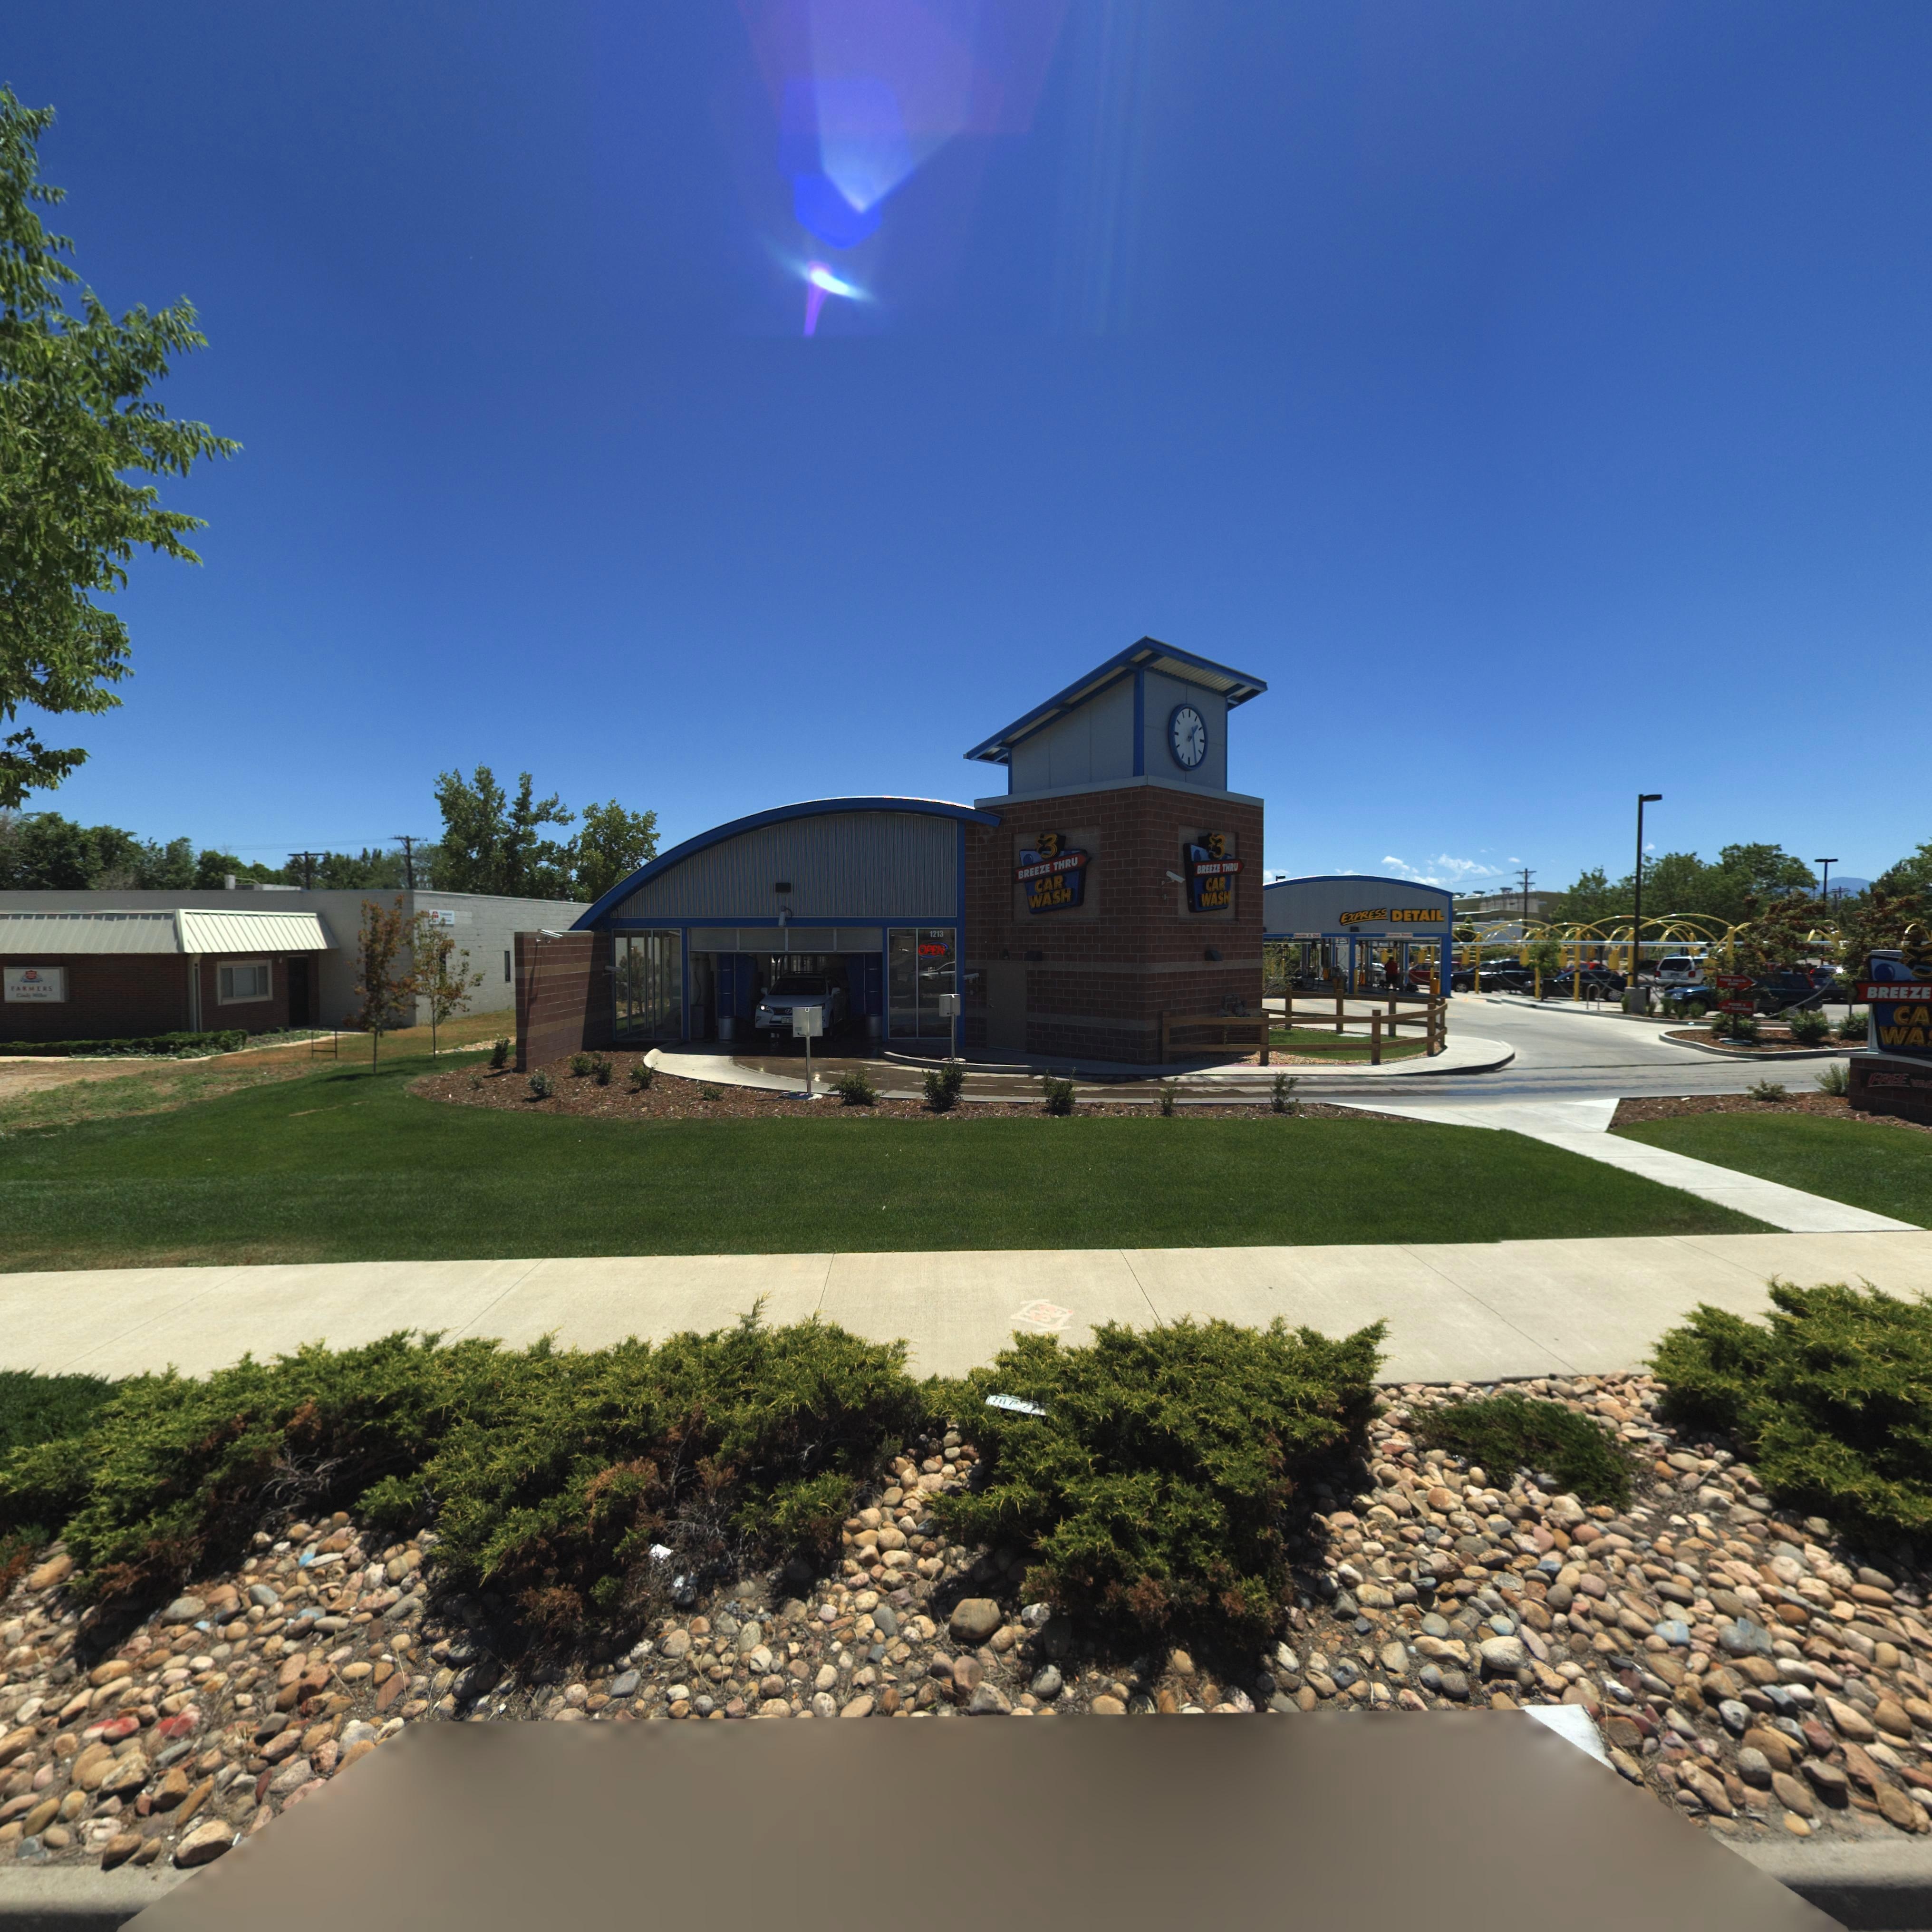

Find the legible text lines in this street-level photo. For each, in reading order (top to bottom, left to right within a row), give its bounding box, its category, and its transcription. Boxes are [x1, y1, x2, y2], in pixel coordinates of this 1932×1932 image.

[1018, 856, 1078, 879] BusinessName: BREEZE THRU
[1196, 862, 1238, 874] BusinessName: BREEZE THRU
[1034, 874, 1063, 893] BusinessName: CAR
[1205, 876, 1226, 892] BusinessName: CAR
[1027, 887, 1072, 909] BusinessName: WASH
[1200, 889, 1231, 908] BusinessName: WASH
[1340, 908, 1388, 923] BusinessName: EXPRESS
[1391, 909, 1444, 921] BusinessName: DETAIL
[928, 930, 944, 937] StreetNumber: 1213
[10, 985, 53, 991] BusinessName: FARM*RS
[1867, 986, 1931, 999] BusinessName: BREEZE
[1892, 1005, 1931, 1026] BusinessName: CA
[1878, 1025, 1927, 1047] BusinessName: WA